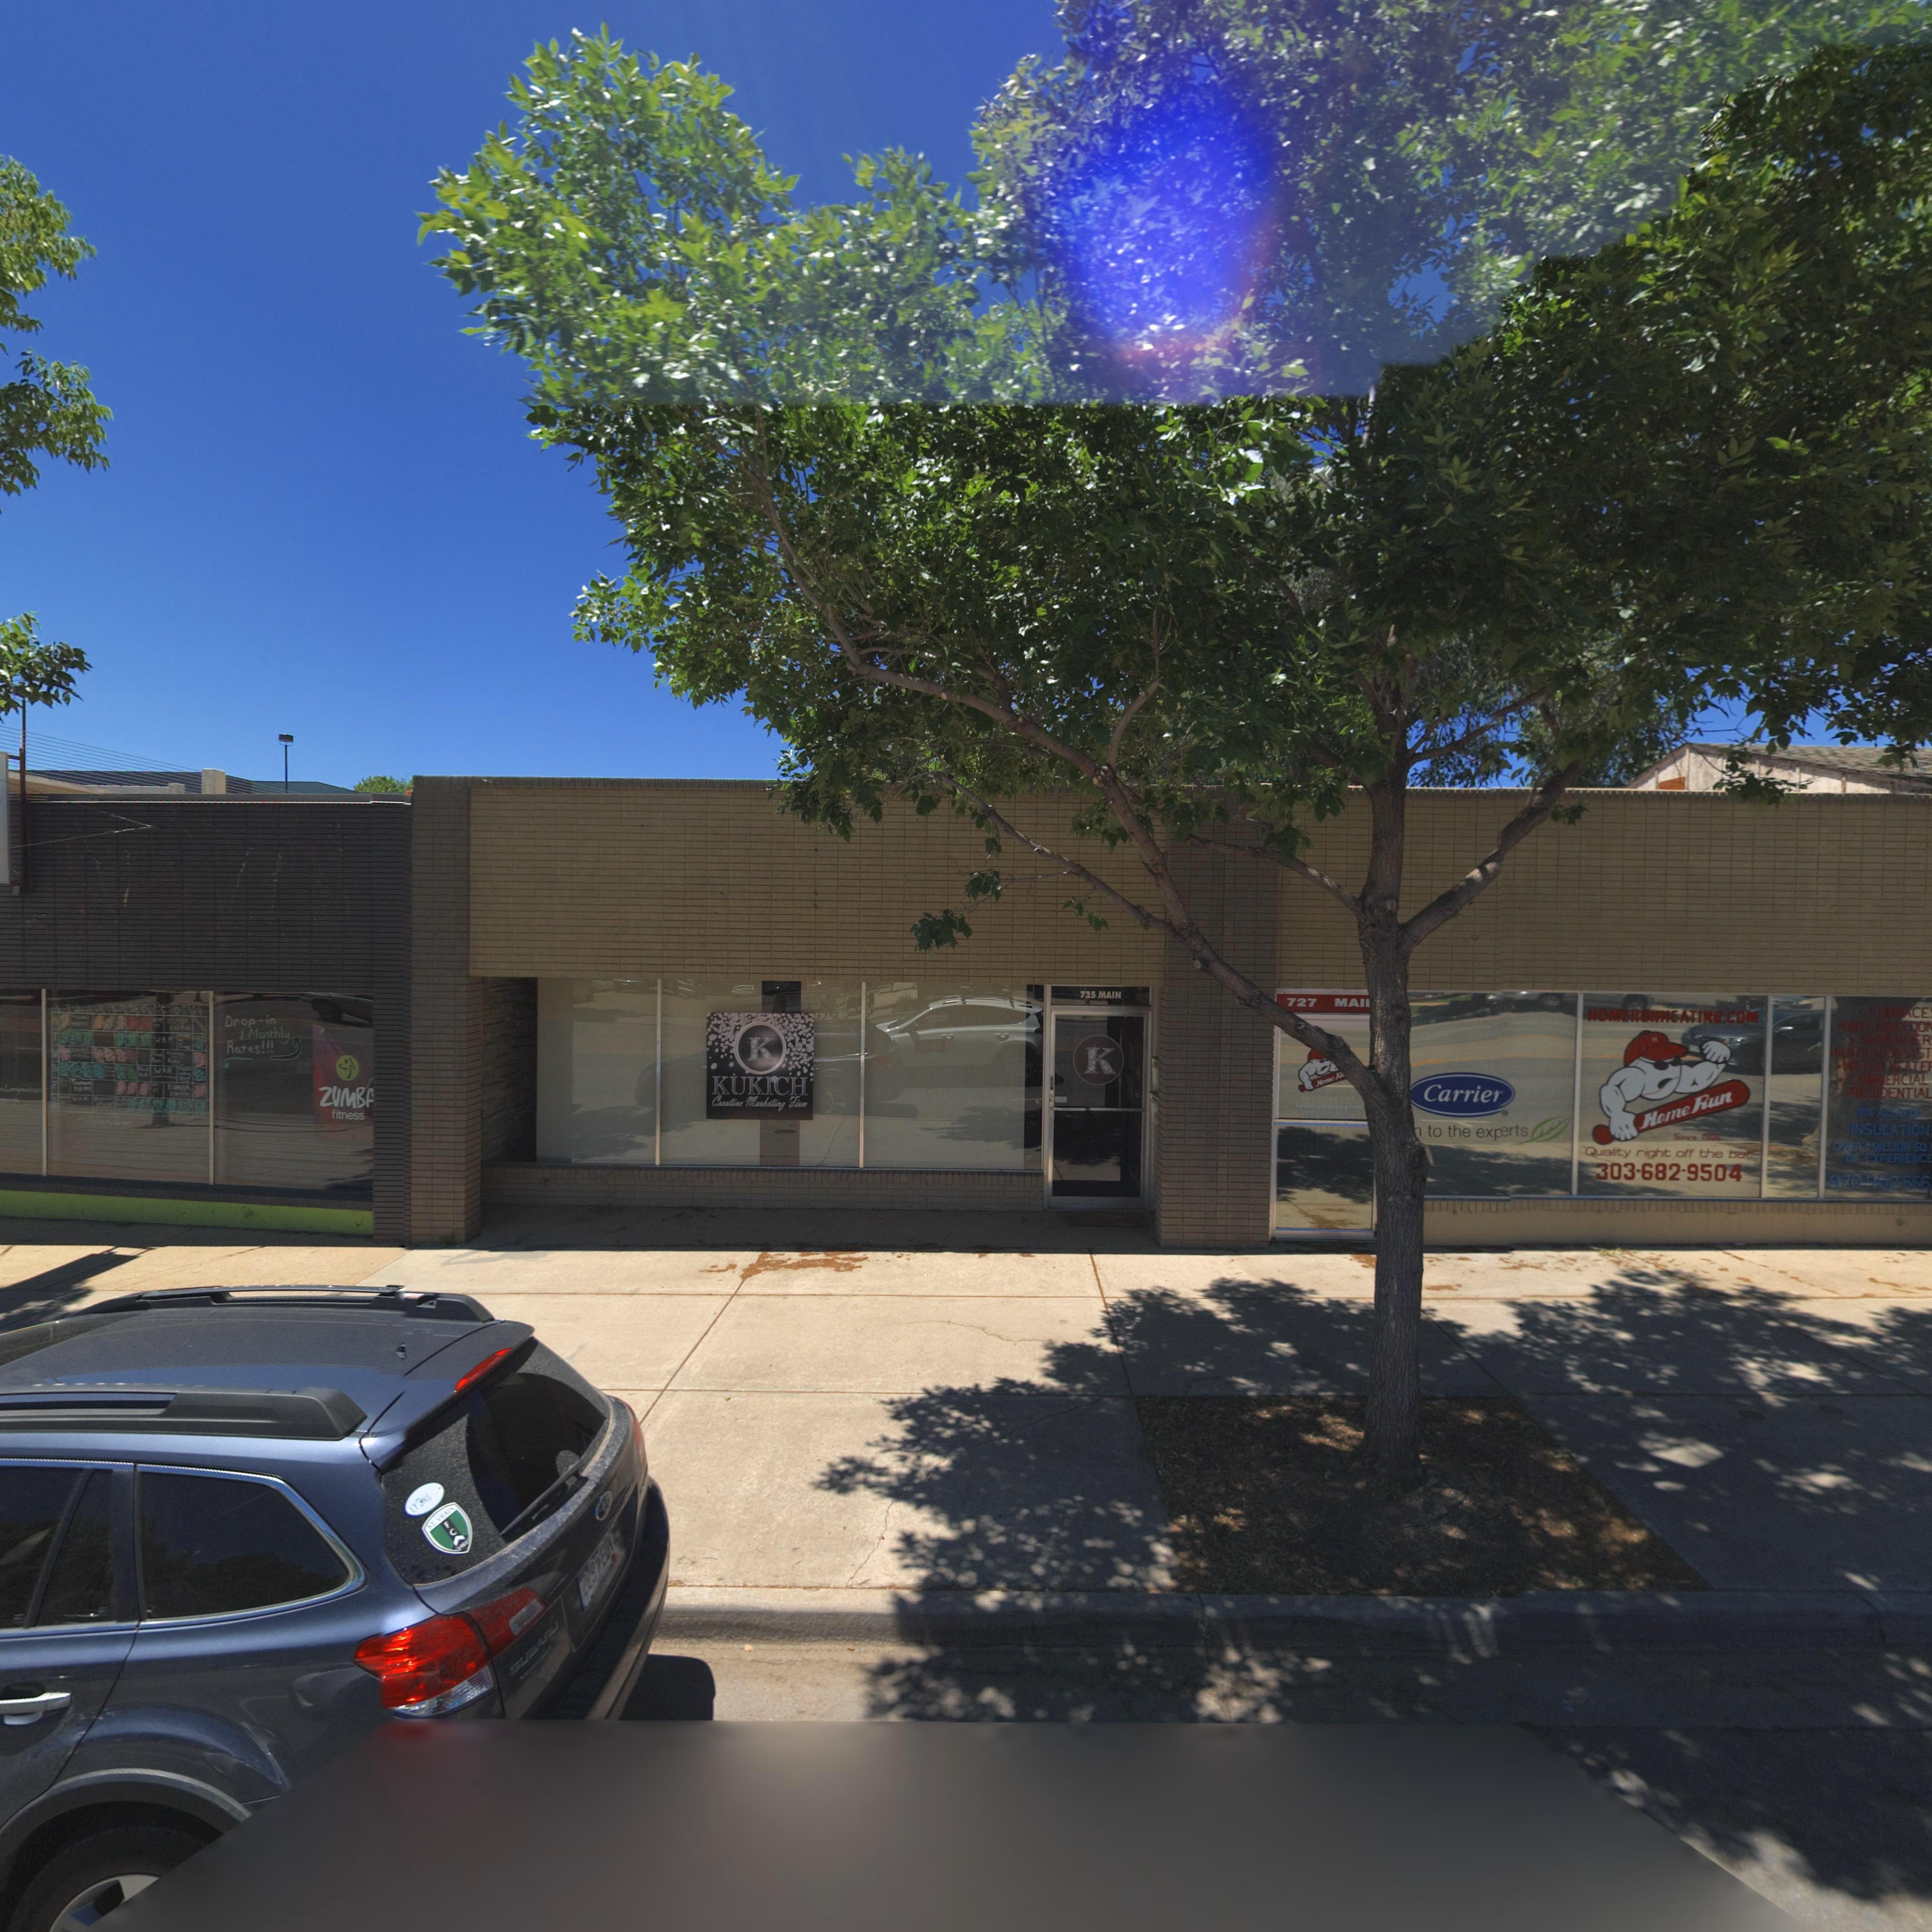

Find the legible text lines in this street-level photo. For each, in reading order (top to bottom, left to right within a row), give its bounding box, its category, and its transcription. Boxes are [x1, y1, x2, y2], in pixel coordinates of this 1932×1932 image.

[1080, 991, 1095, 998] StreetNumber: 725
[1098, 991, 1121, 999] StreetName: MAIN
[1286, 997, 1317, 1007] StreetNumber: 727
[1334, 997, 1364, 1007] StreetName: MAI
[711, 1075, 808, 1096] BusinessName: KUKICH
[1314, 1072, 1341, 1087] BusinessName: Home R
[711, 1094, 808, 1112] BusinessName: Creative Marketing Firm
[1638, 1092, 1733, 1130] BusinessName: Home Run